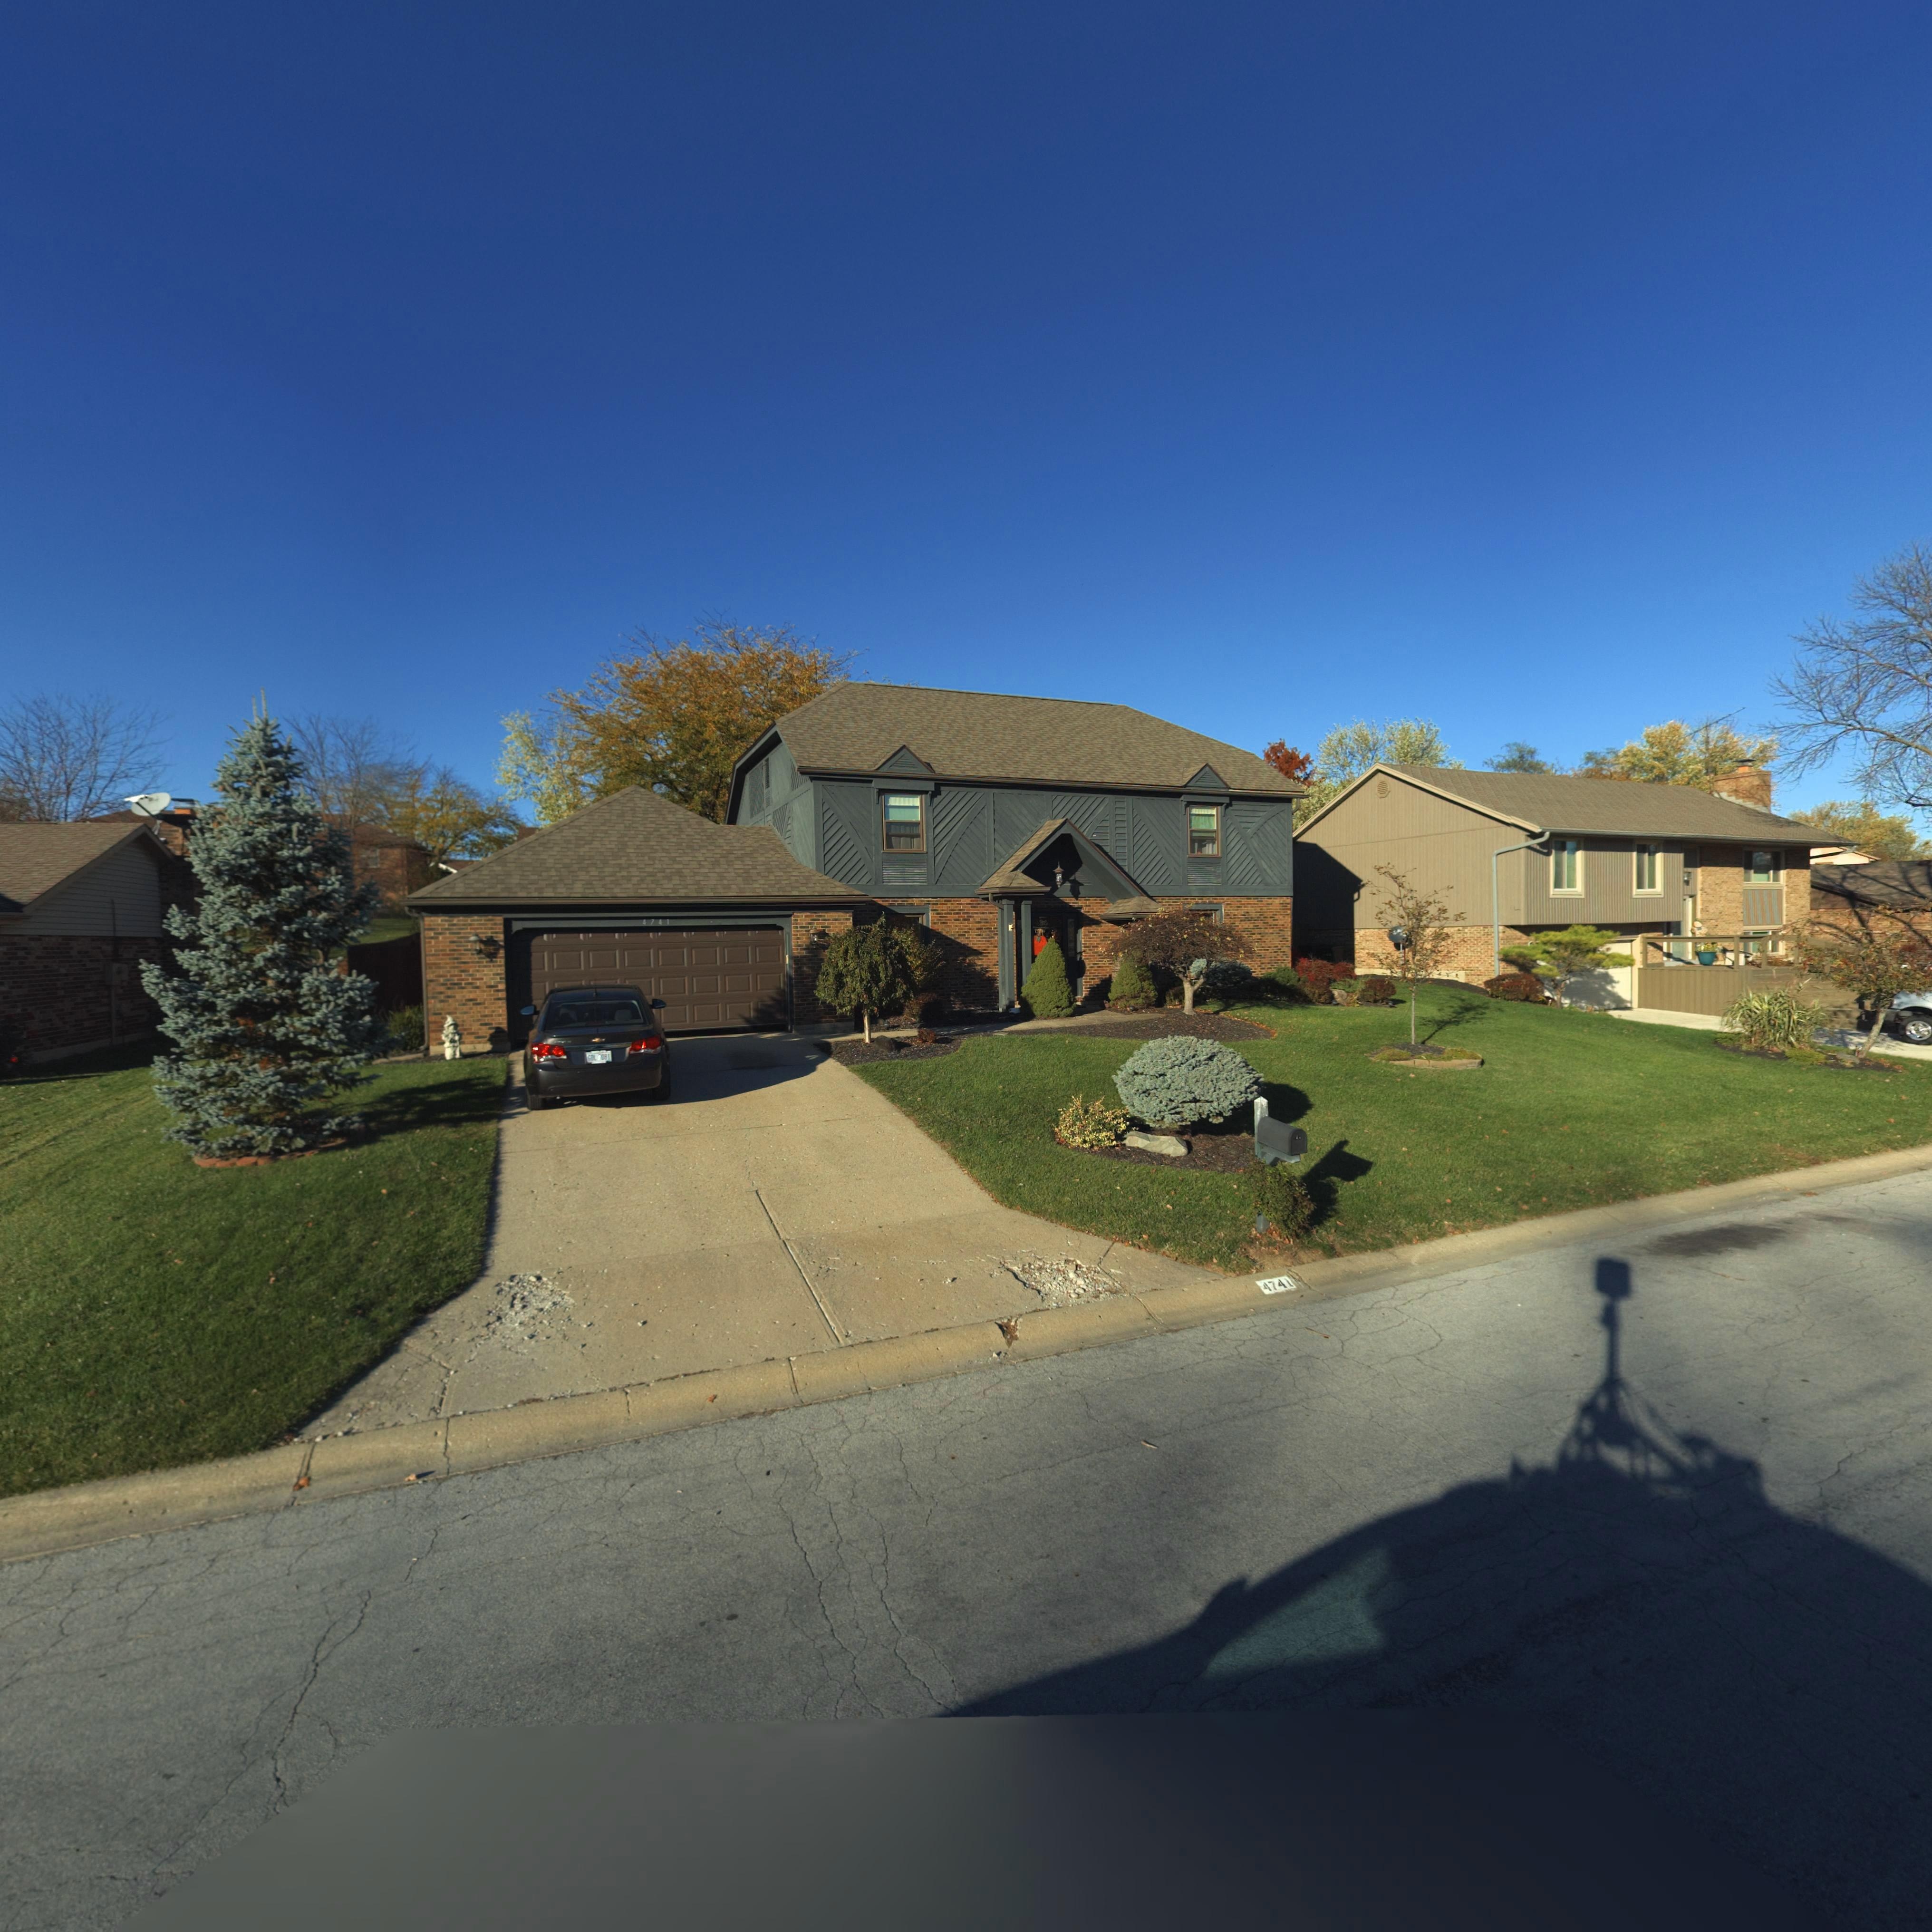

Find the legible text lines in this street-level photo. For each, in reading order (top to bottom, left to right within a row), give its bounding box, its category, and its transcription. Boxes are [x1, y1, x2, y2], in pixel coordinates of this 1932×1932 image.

[641, 918, 670, 927] StreetNumber: 4741
[1262, 1276, 1295, 1293] StreetNumber: 4741